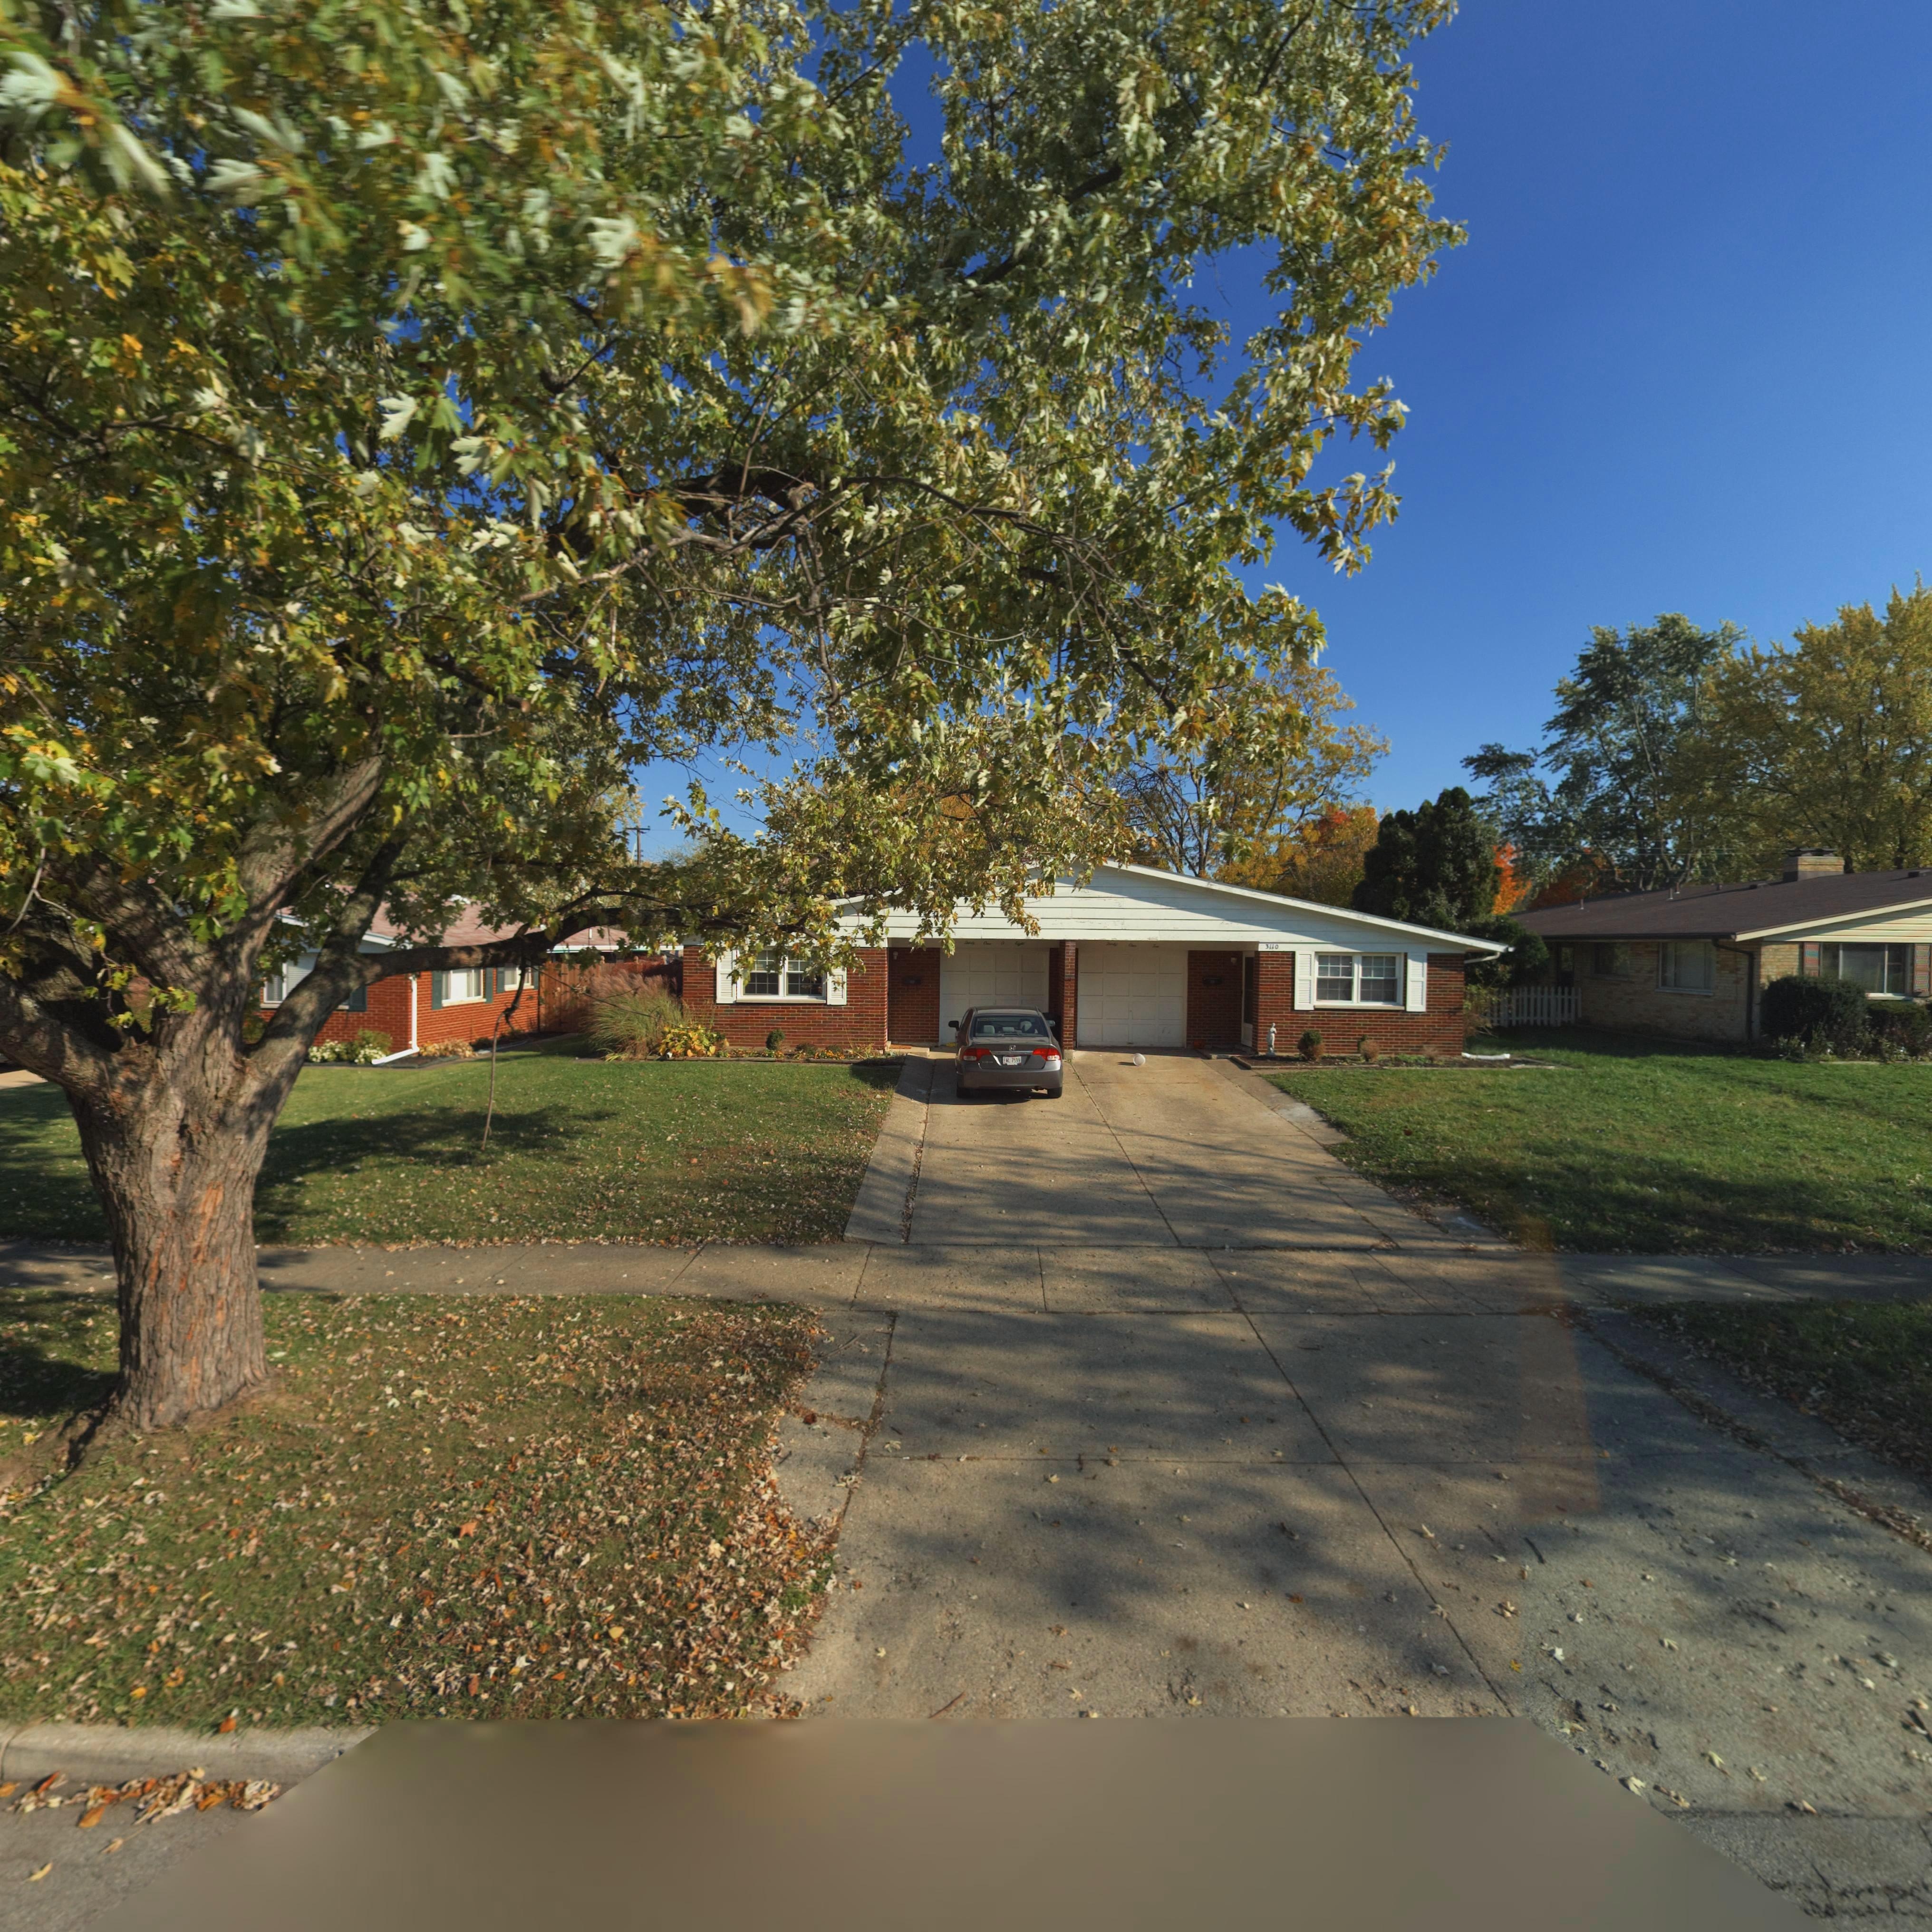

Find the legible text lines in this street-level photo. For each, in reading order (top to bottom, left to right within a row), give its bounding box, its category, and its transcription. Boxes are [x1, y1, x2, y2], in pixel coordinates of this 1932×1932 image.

[1265, 944, 1279, 949] StreetNumber: 3110